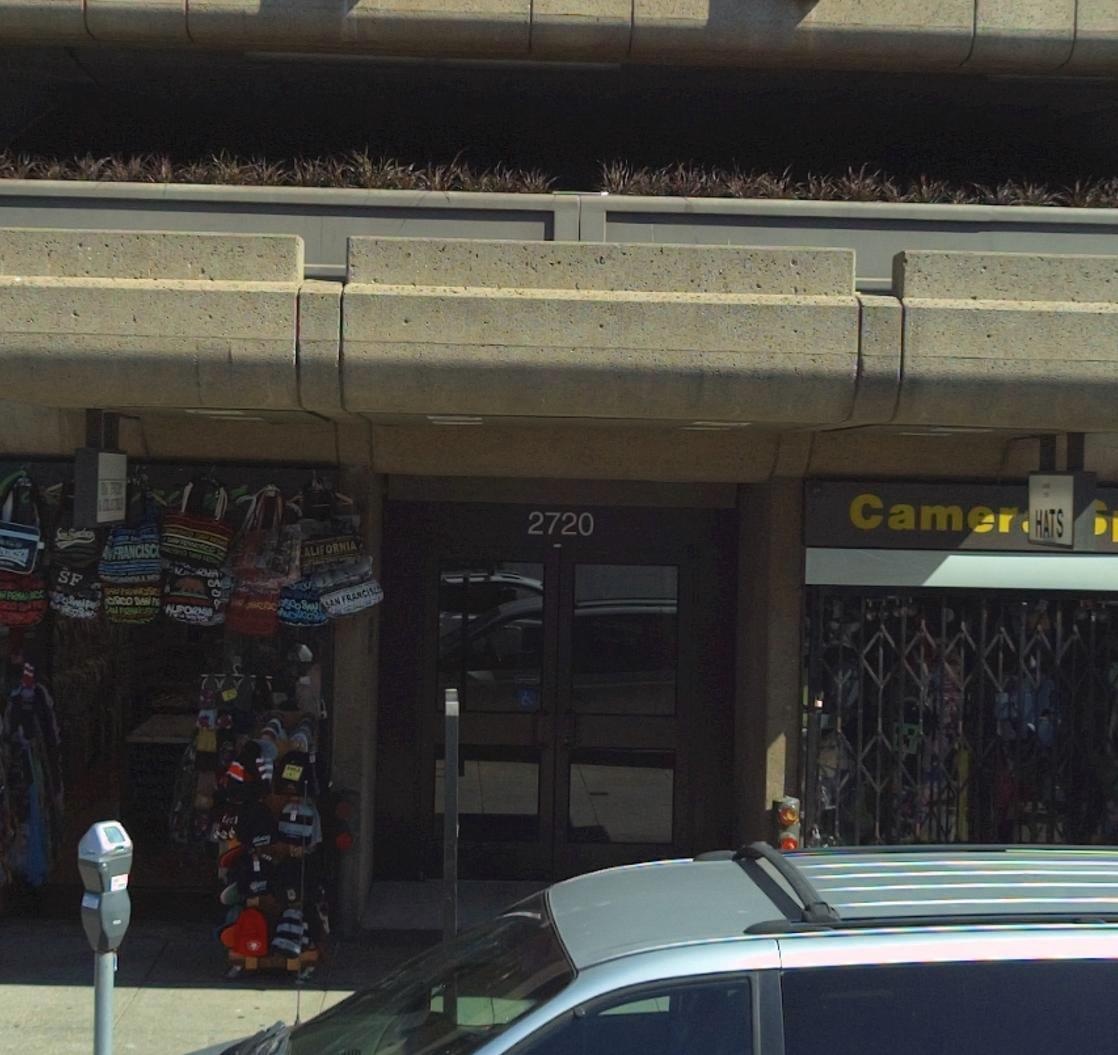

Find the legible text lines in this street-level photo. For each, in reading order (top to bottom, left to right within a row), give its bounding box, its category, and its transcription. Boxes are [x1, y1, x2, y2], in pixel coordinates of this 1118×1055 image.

[526, 509, 595, 538] StreetNumber: 2720
[846, 491, 1021, 536] BusinessName: Camer
[1034, 508, 1065, 540] None: HATS
[112, 542, 157, 562] None: FRANCISC
[303, 538, 358, 560] None: ALIFORNIA
[55, 567, 84, 588] None: SF
[322, 595, 342, 611] None: SAN